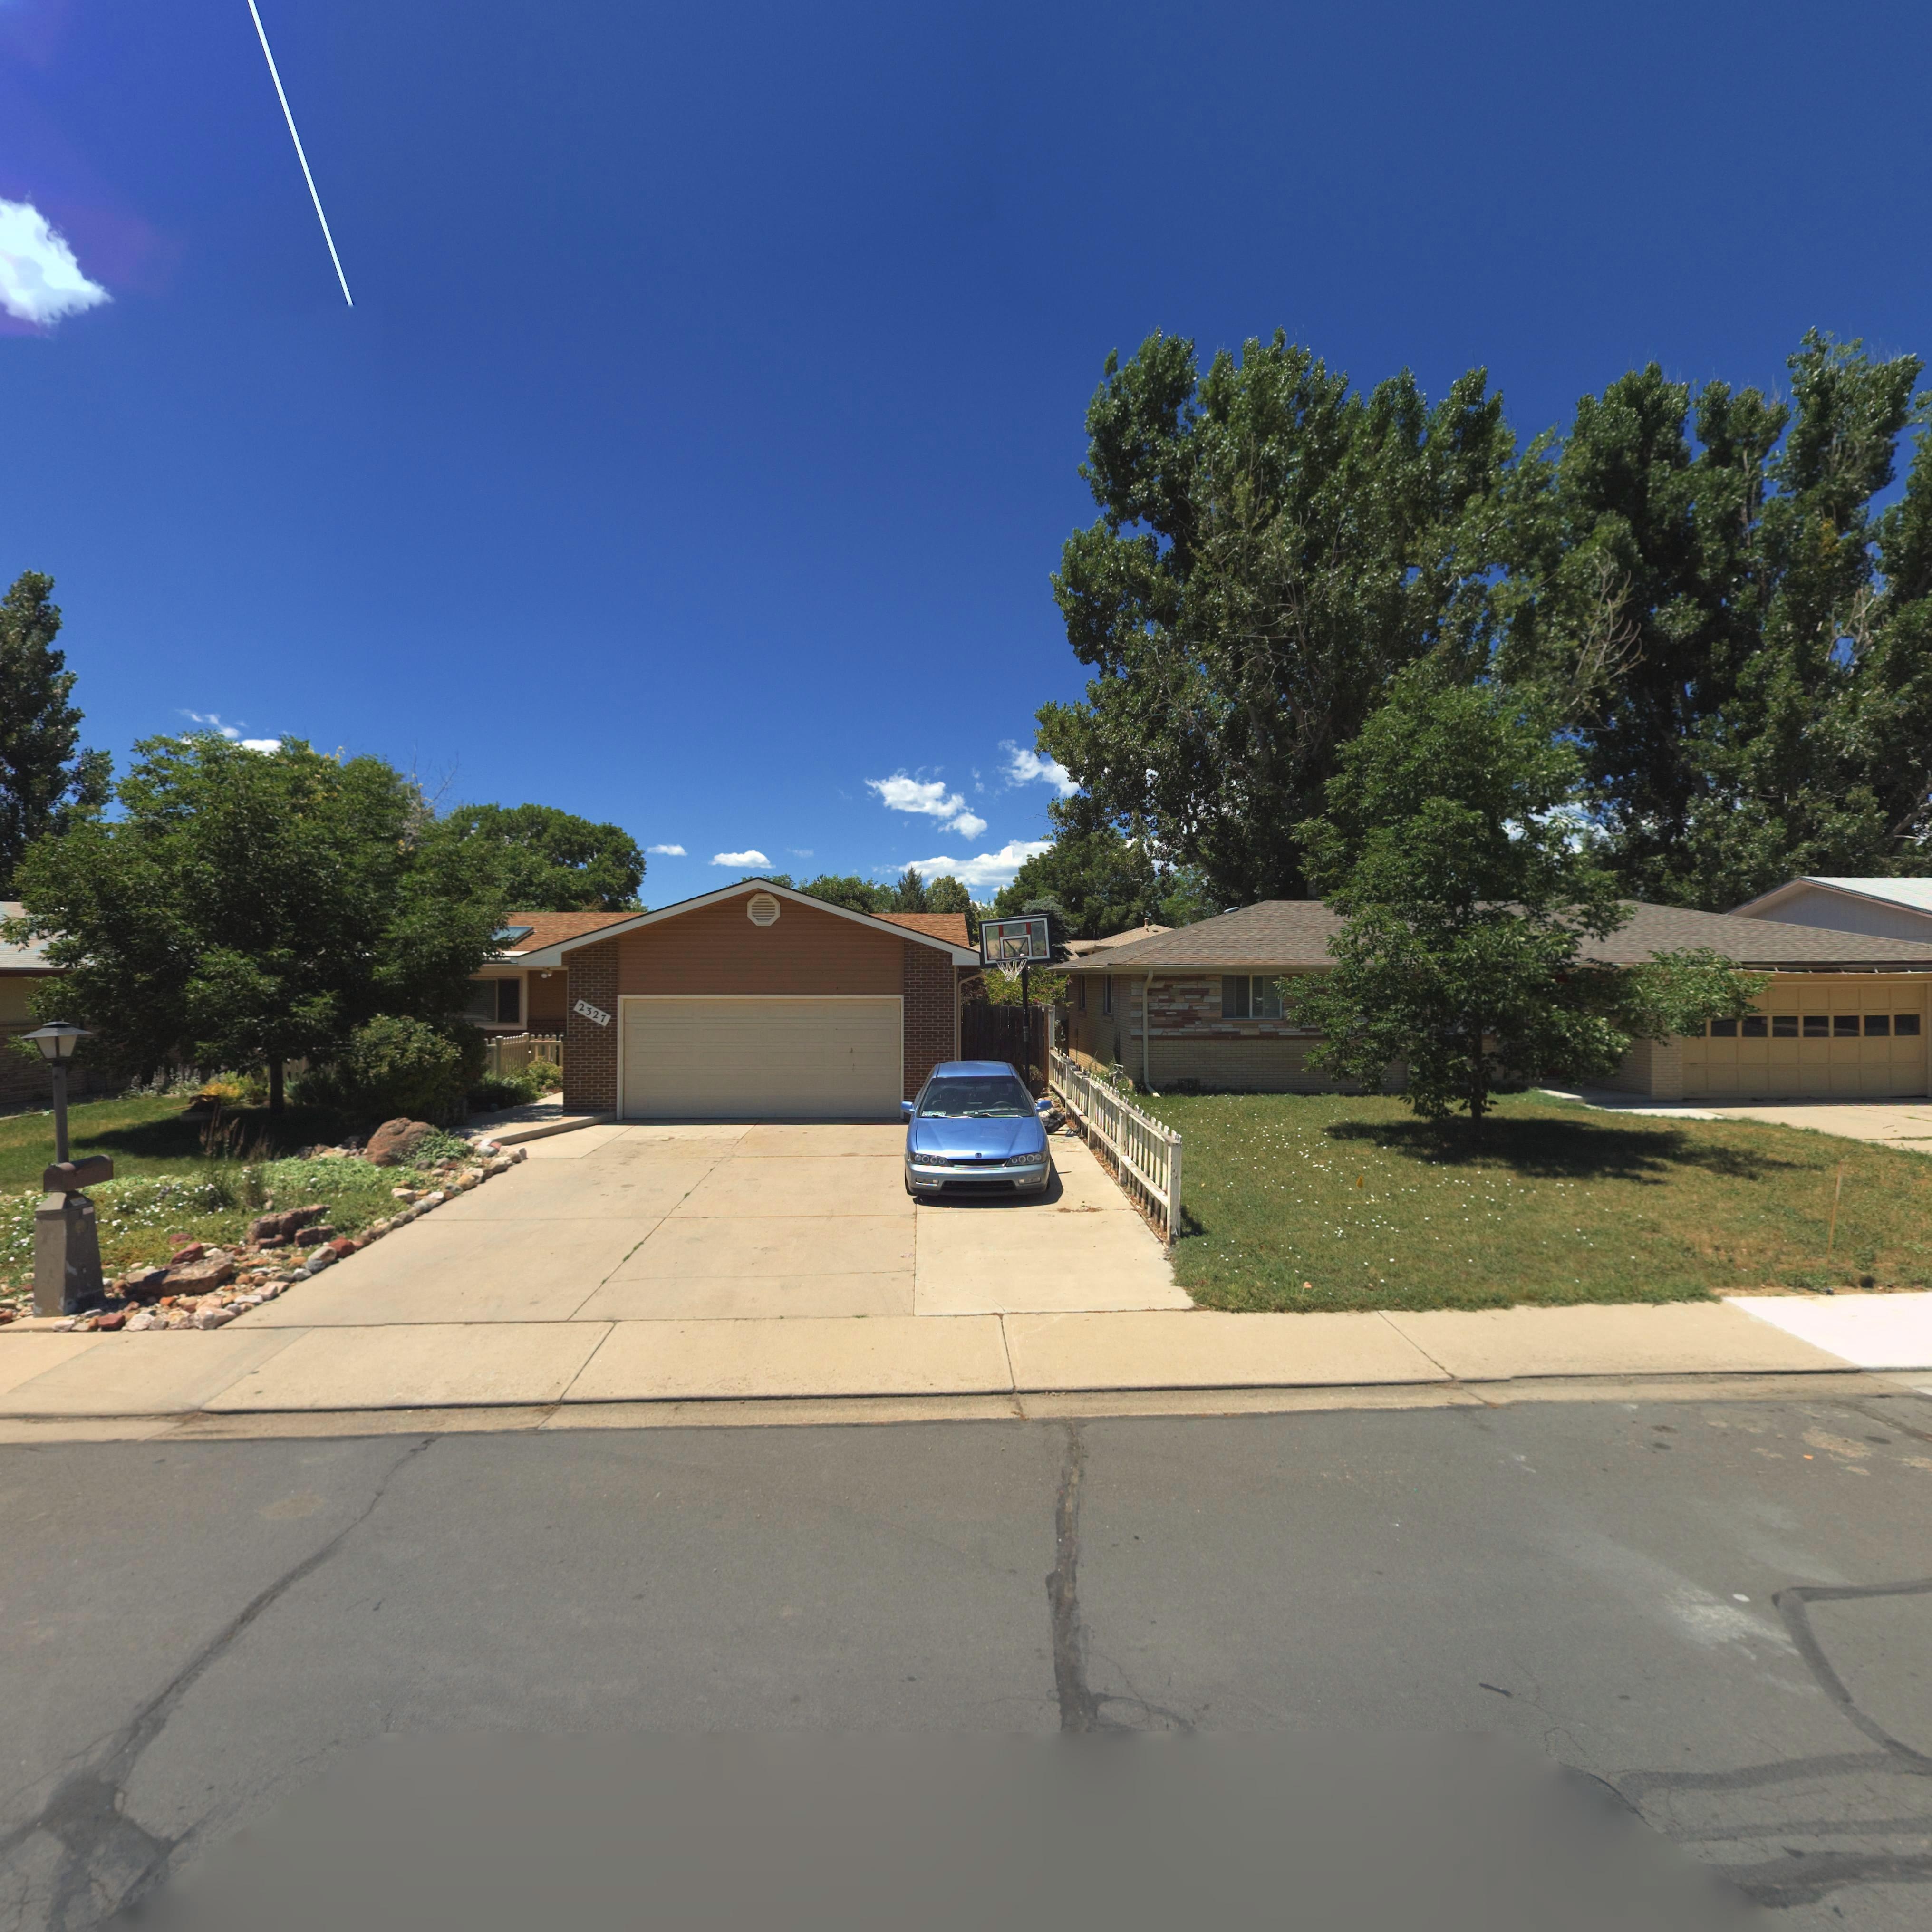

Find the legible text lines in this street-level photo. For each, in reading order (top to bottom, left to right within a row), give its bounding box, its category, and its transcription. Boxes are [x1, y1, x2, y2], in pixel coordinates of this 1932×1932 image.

[578, 1003, 607, 1023] StreetNumber: 2327